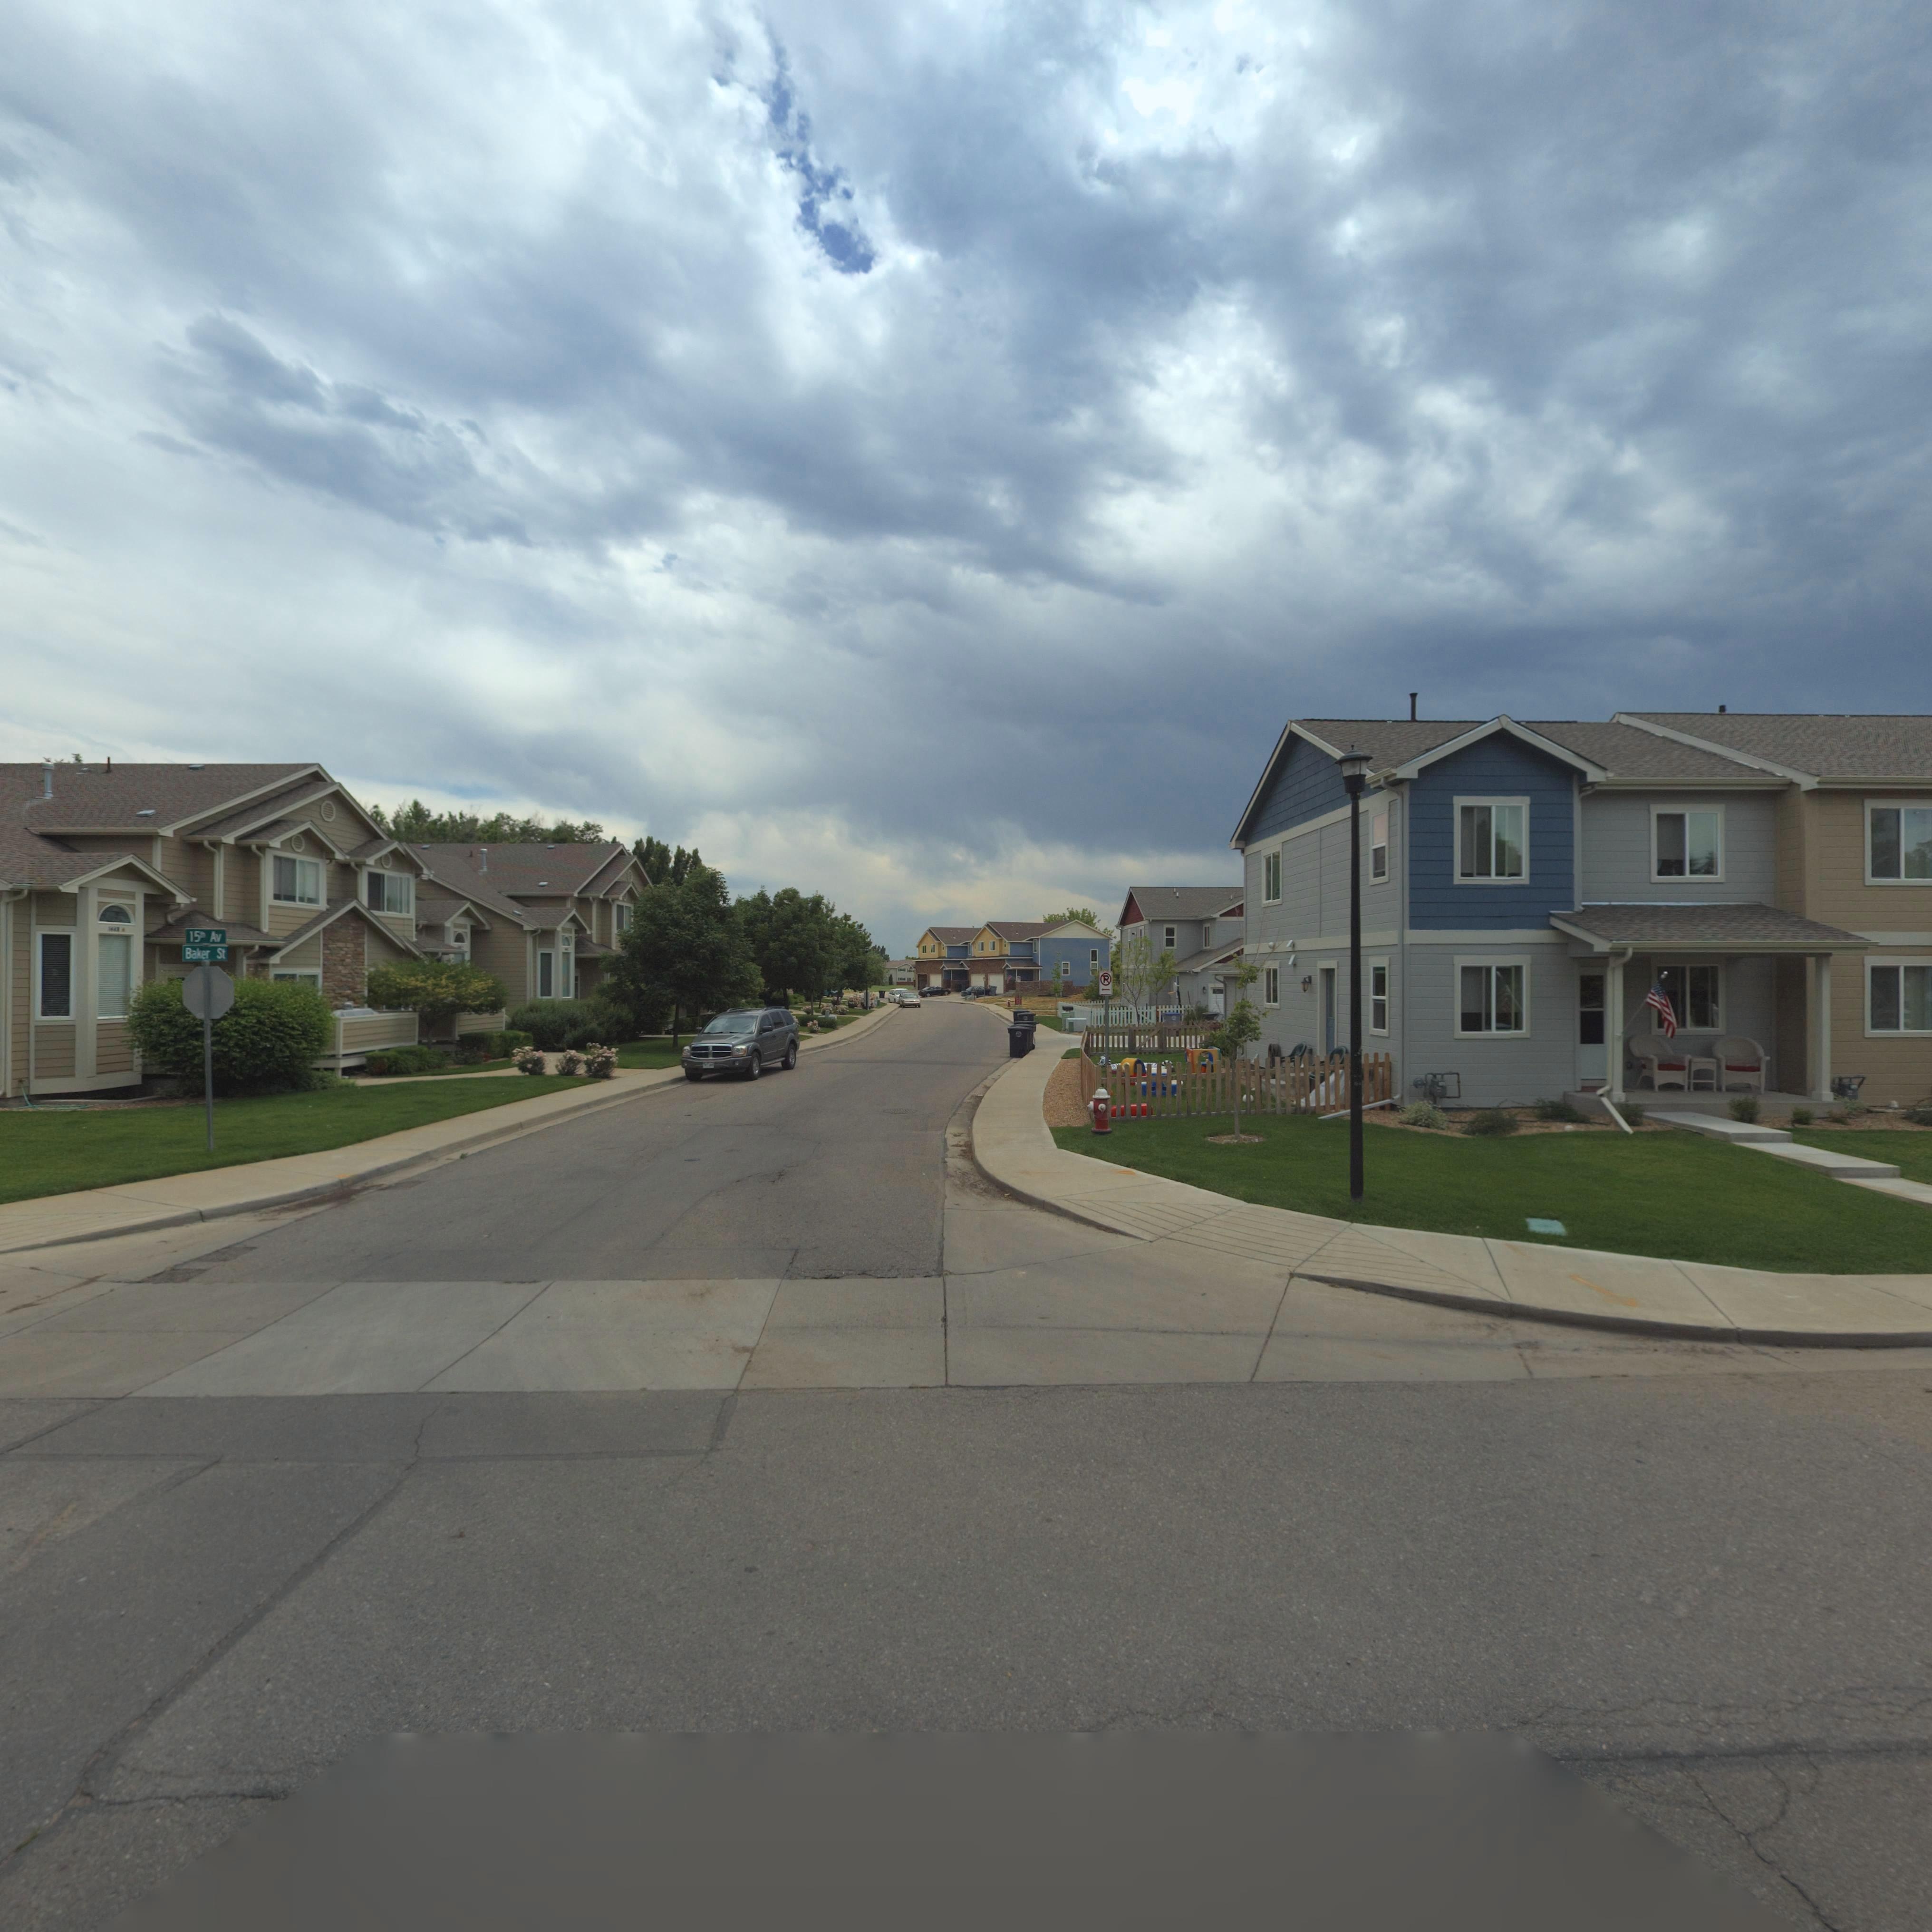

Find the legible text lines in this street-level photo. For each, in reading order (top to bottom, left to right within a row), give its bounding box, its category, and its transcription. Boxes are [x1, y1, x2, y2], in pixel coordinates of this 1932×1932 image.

[107, 926, 125, 932] StreetNumber: 14** *
[189, 930, 222, 942] StreetName: 15th Av
[185, 947, 226, 959] StreetName: Baker St